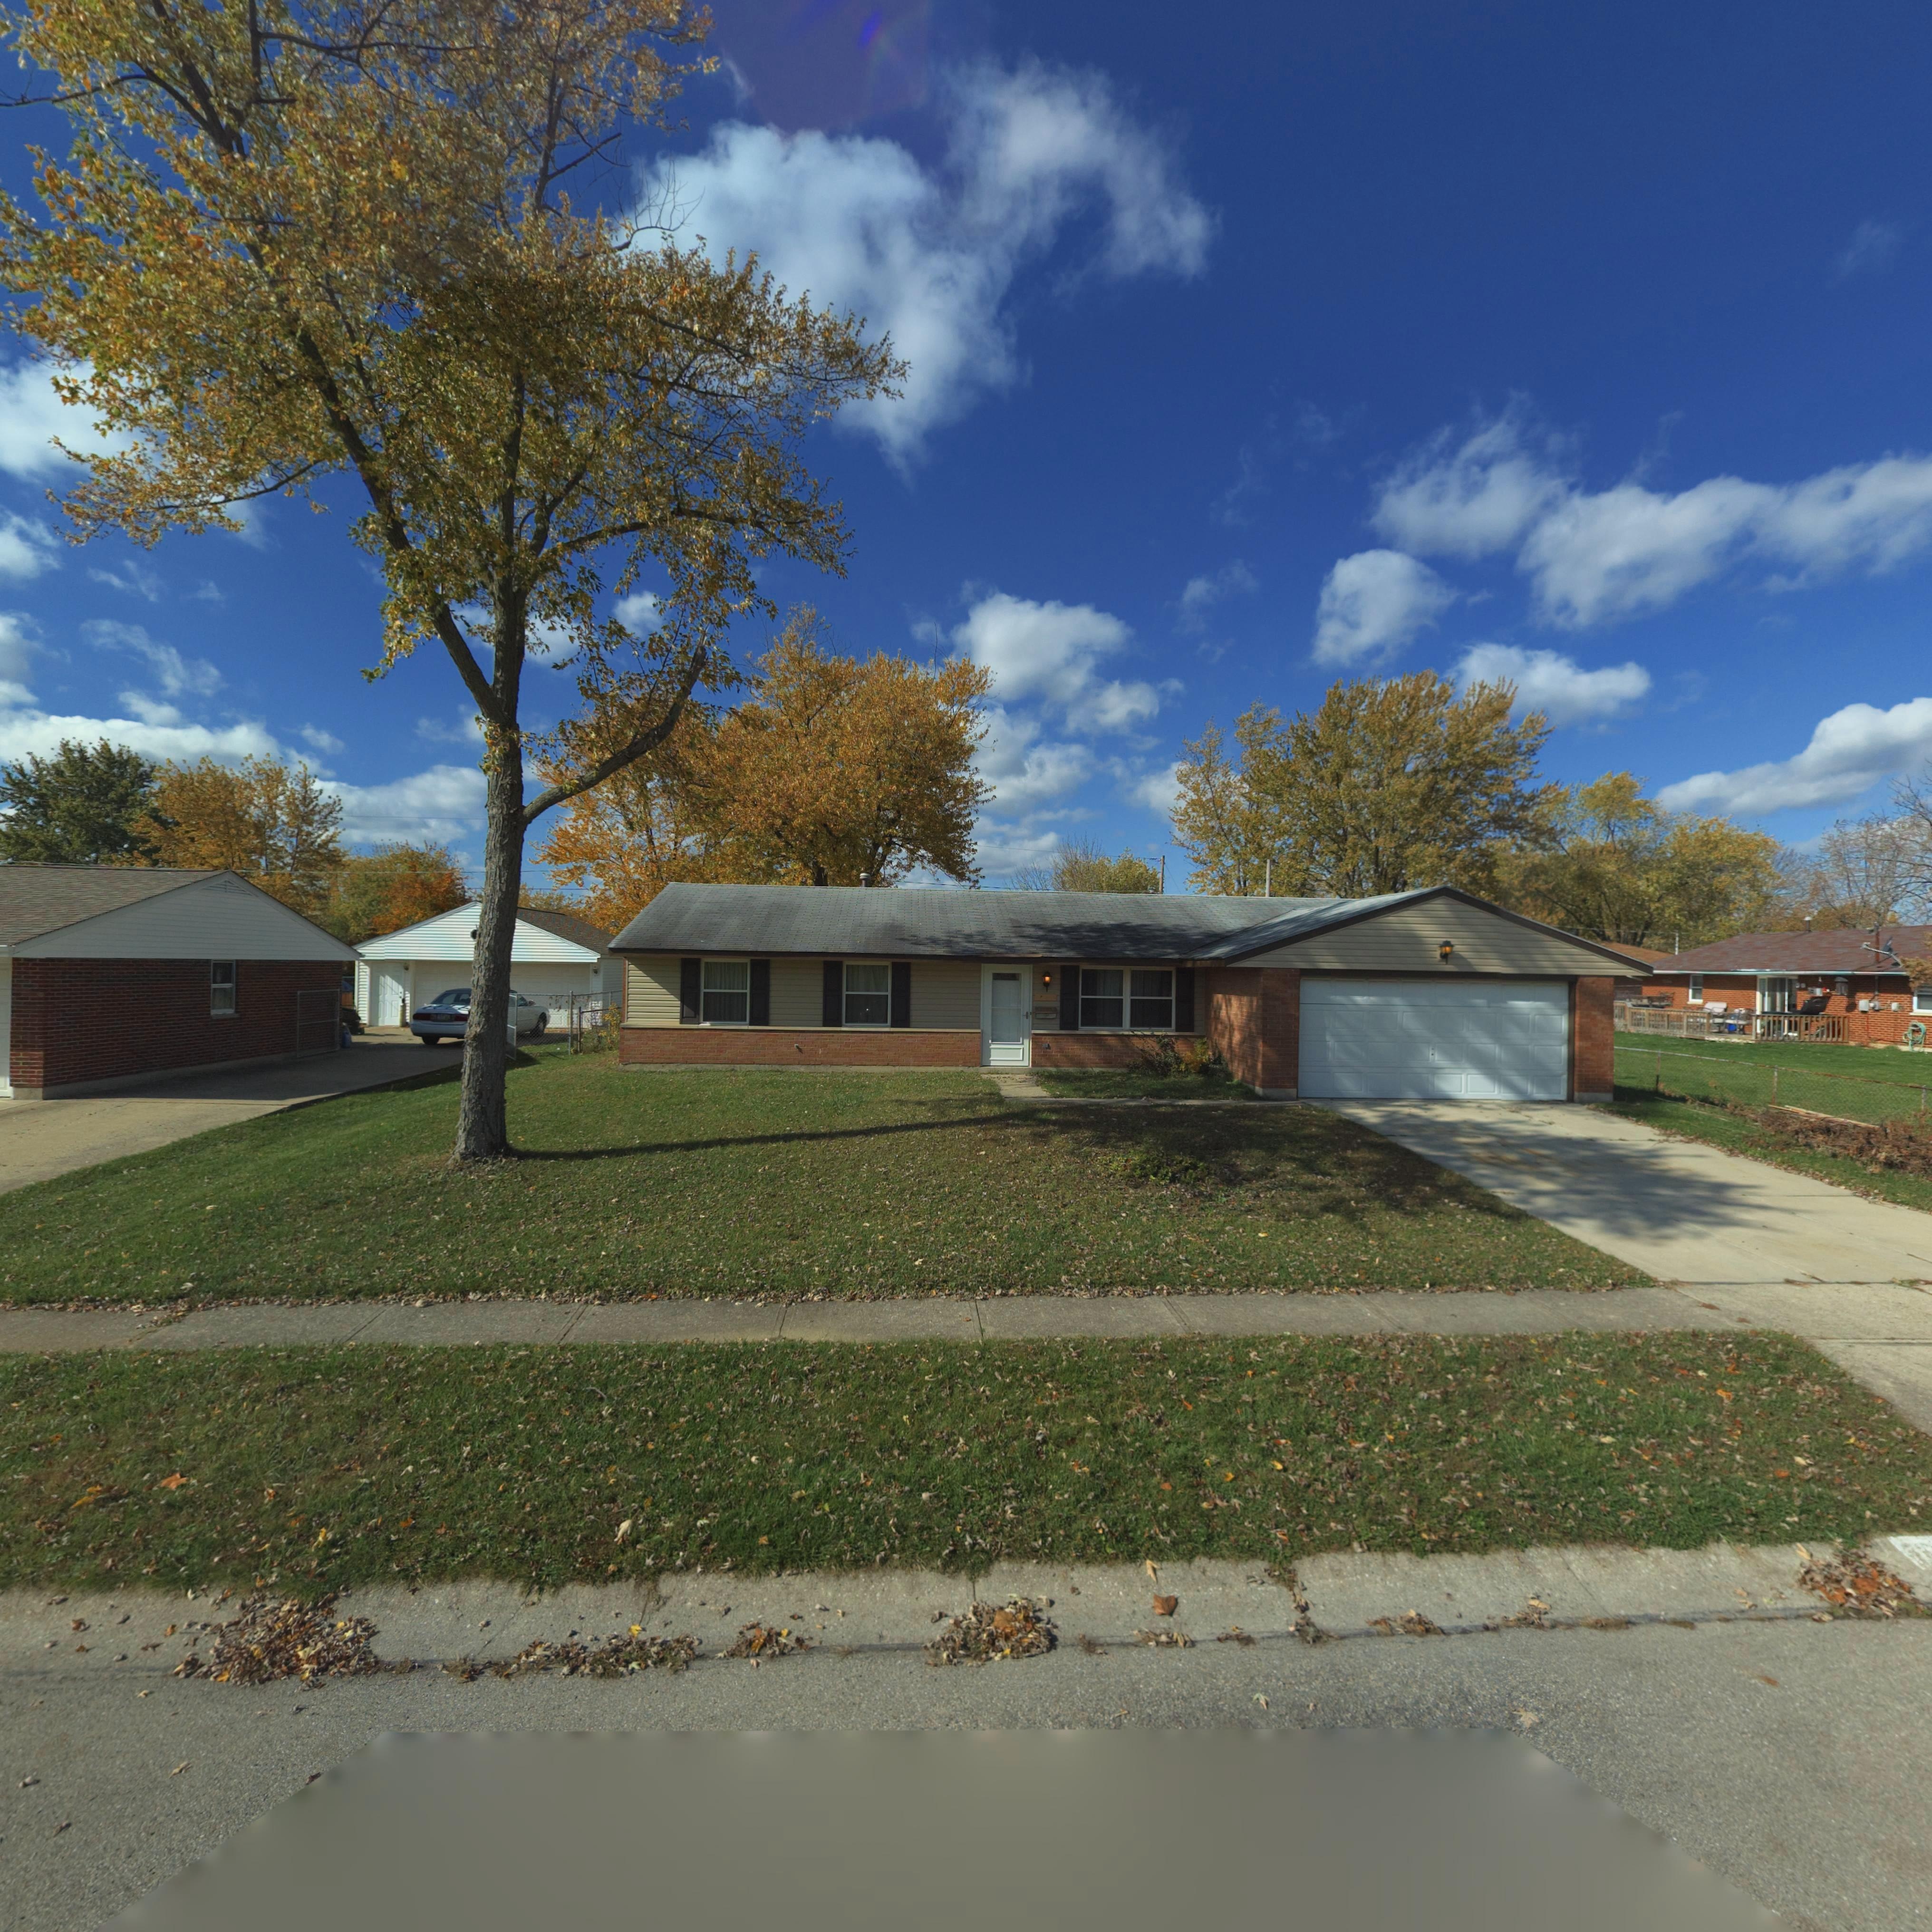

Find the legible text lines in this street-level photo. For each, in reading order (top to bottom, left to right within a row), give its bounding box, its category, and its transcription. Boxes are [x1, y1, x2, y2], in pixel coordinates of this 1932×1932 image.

[1899, 1541, 1932, 1569] StreetNumber: 7